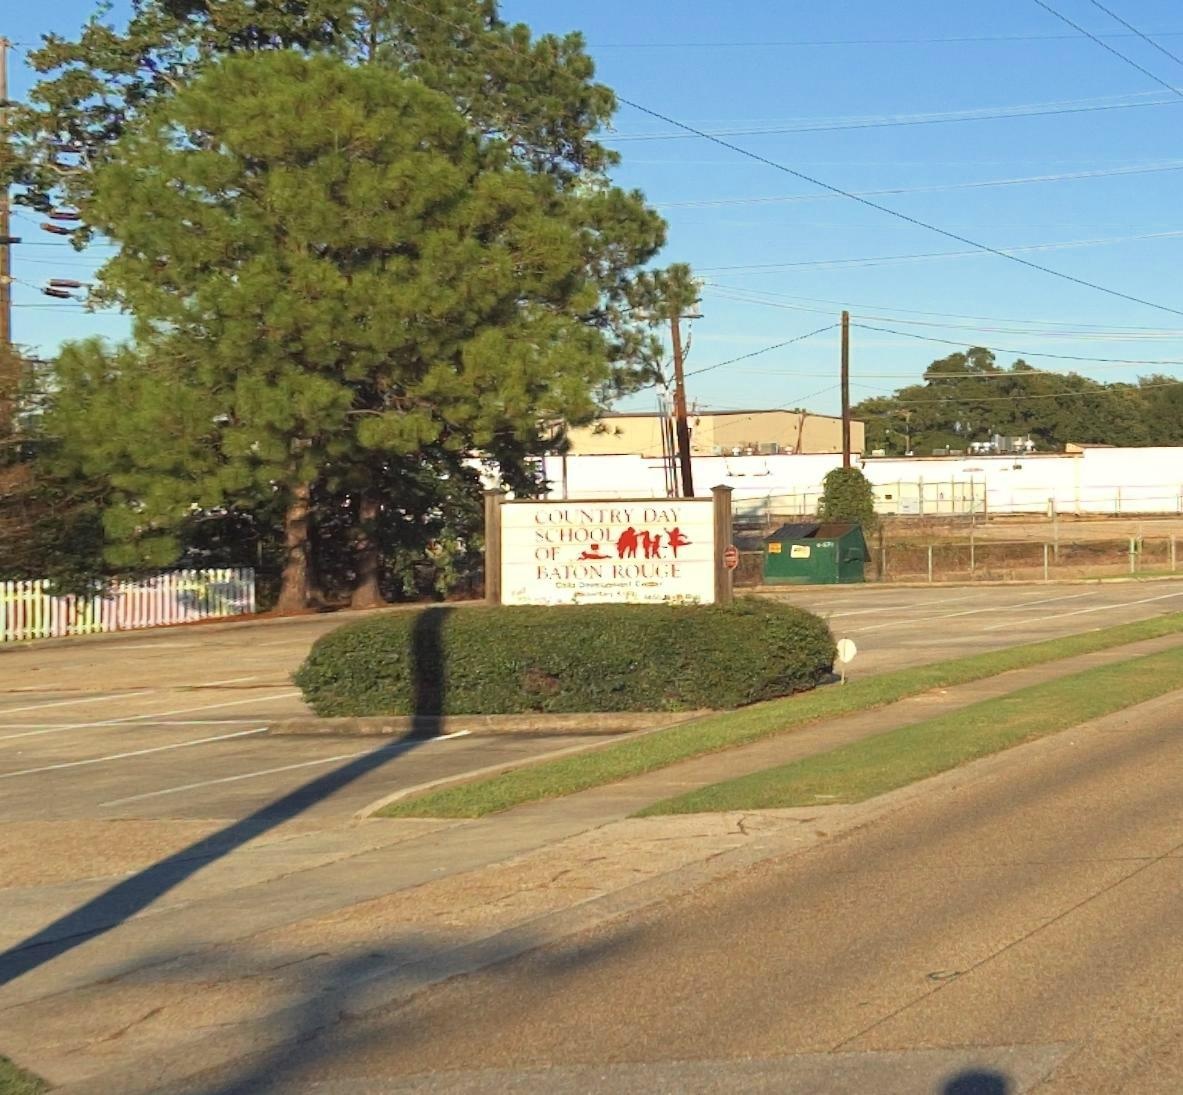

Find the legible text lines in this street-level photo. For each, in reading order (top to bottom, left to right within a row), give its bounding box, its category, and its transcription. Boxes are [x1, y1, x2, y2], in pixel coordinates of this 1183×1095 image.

[533, 506, 682, 526] BusinessName: COUNTRY DAY
[533, 527, 616, 544] BusinessName: SCHOOL
[534, 545, 562, 562] BusinessName: OF
[535, 561, 683, 581] BusinessName: BATON ROUGE